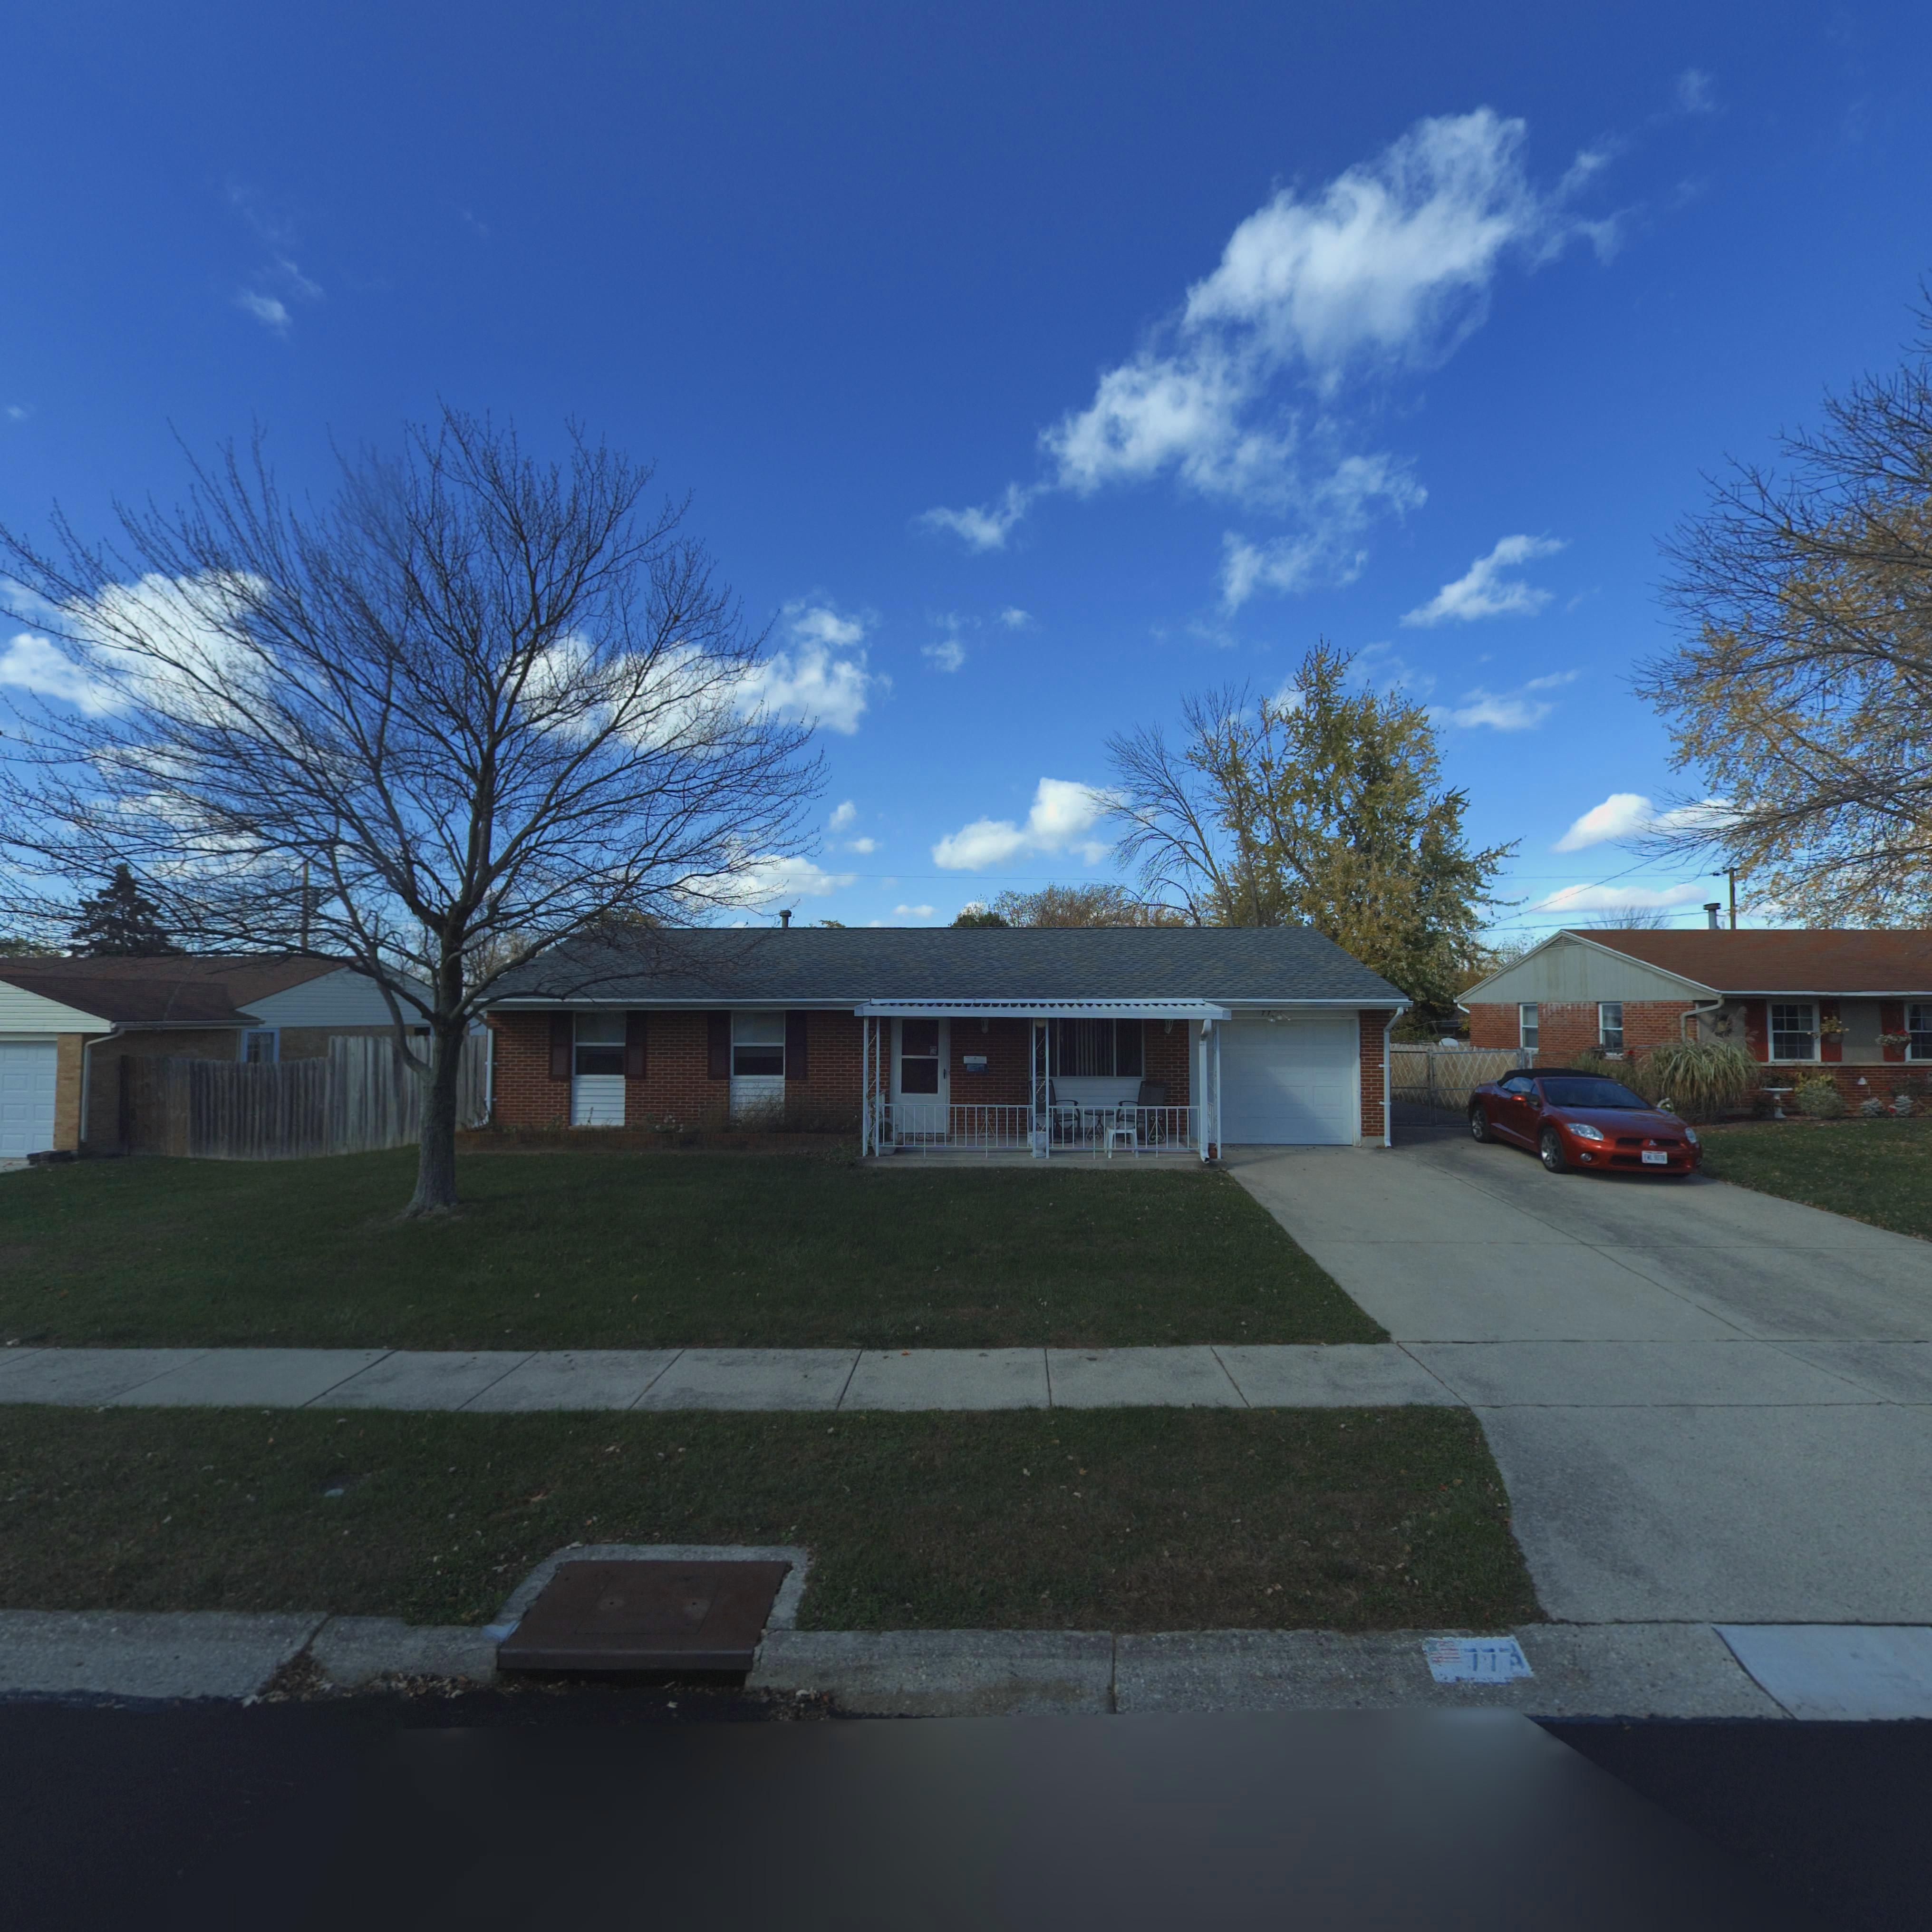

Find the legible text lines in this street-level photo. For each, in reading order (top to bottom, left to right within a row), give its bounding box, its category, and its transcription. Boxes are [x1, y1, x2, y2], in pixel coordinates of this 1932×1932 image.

[1261, 1010, 1272, 1017] StreetNumber: 77
[1462, 1646, 1498, 1674] StreetNumber: 77